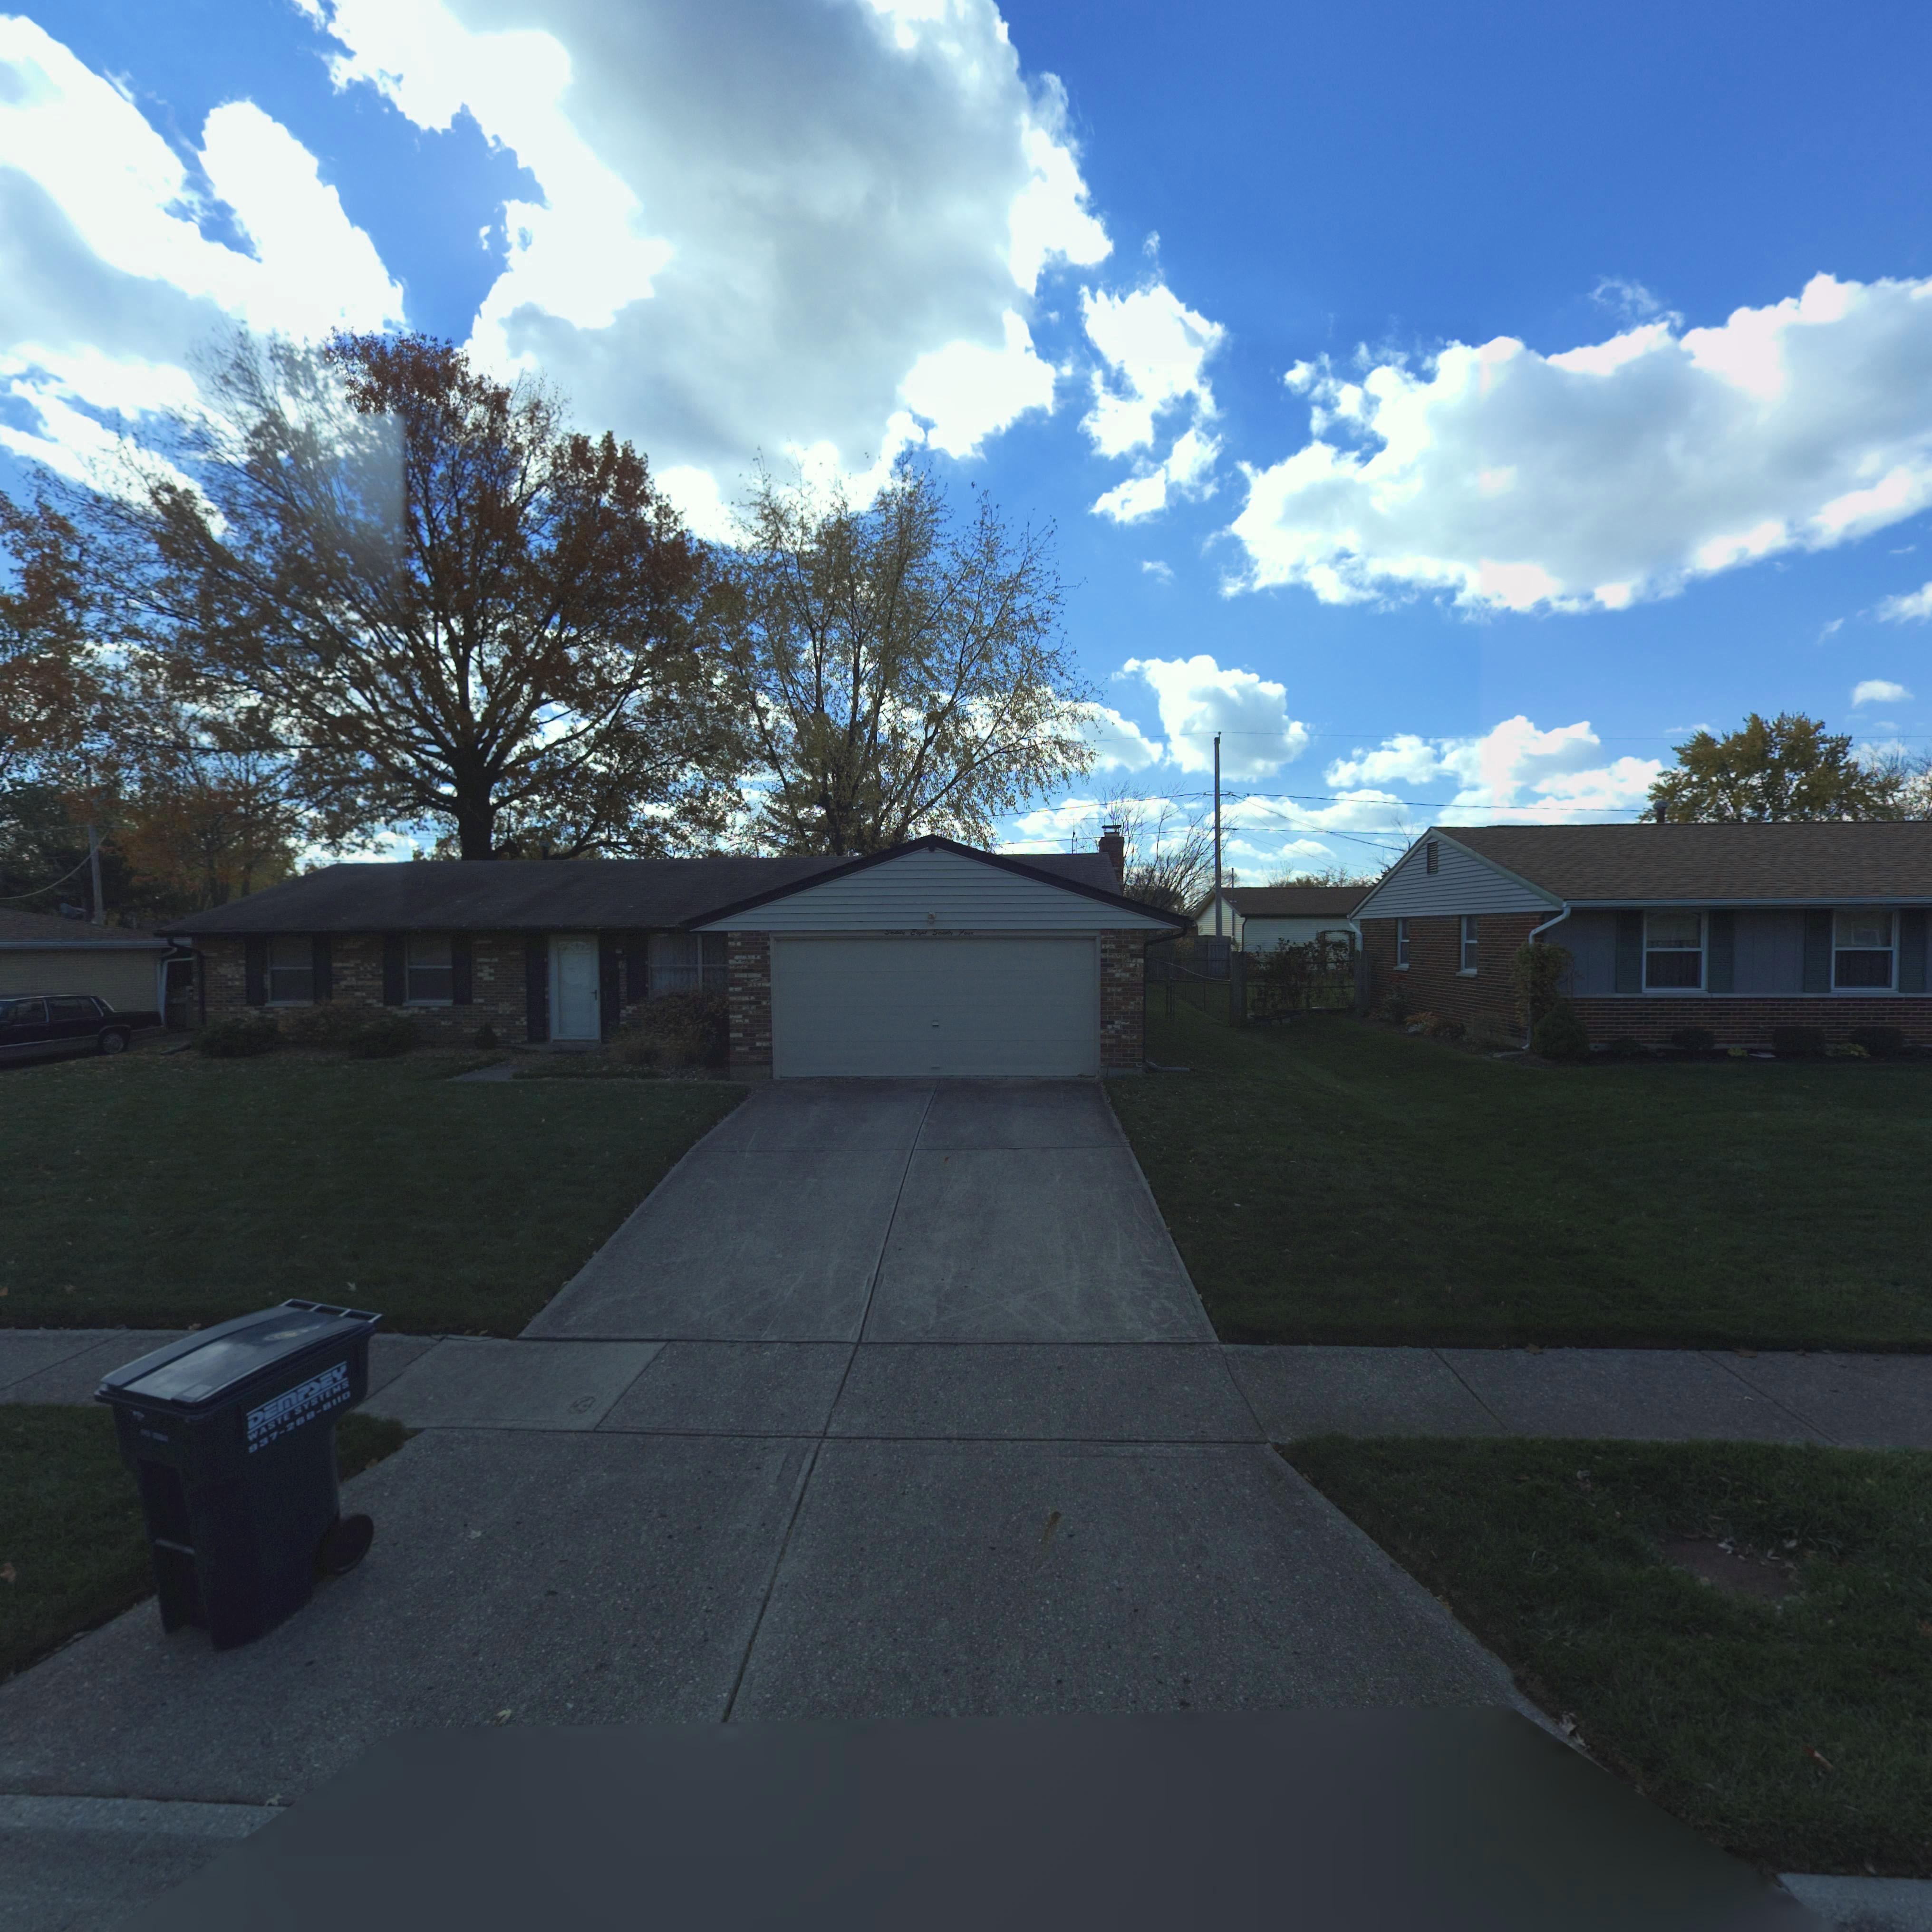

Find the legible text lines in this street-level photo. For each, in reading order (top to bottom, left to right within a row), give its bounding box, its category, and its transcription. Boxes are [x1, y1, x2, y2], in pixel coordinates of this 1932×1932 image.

[883, 929, 975, 936] StreetNumber: Seventy Eight Seventy Four